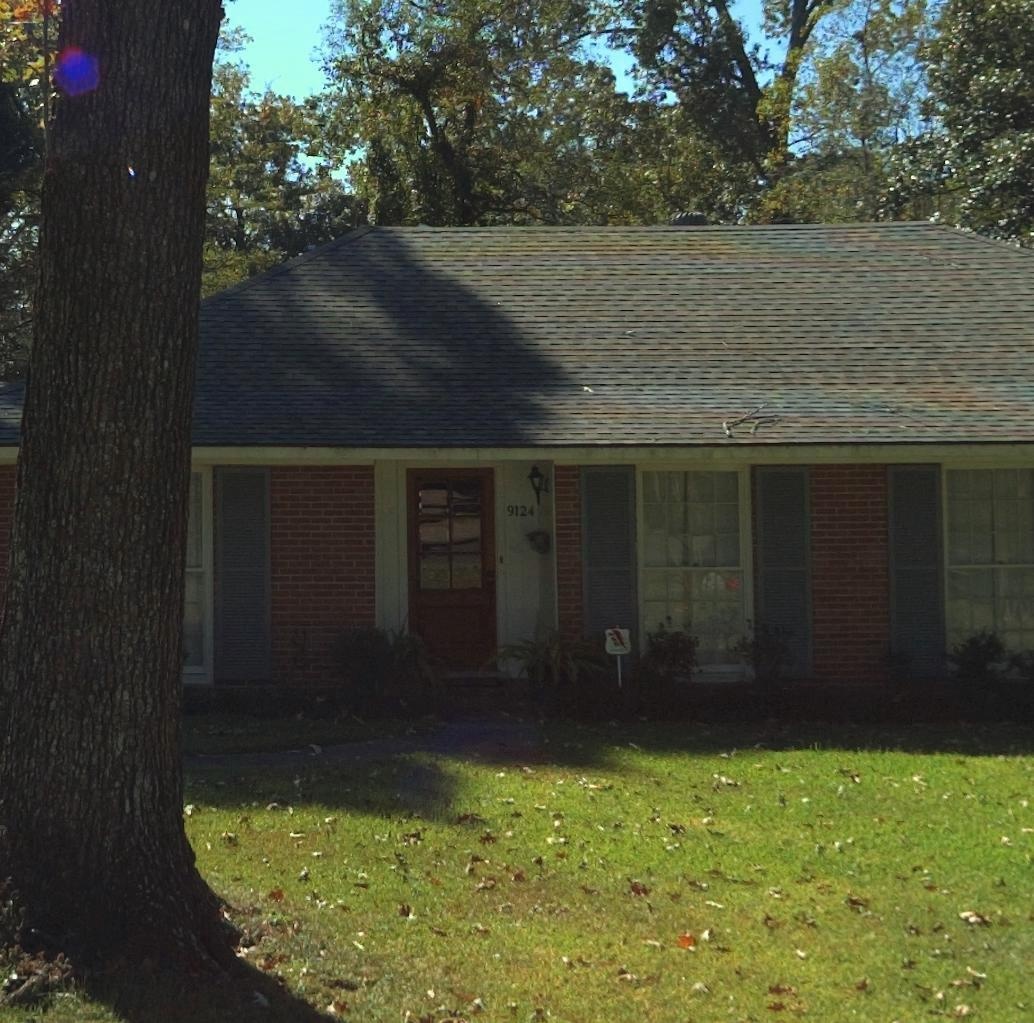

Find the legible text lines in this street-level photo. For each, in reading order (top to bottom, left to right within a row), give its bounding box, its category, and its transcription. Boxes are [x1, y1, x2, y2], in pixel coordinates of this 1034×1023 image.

[505, 503, 536, 519] StreetNumber: 9124